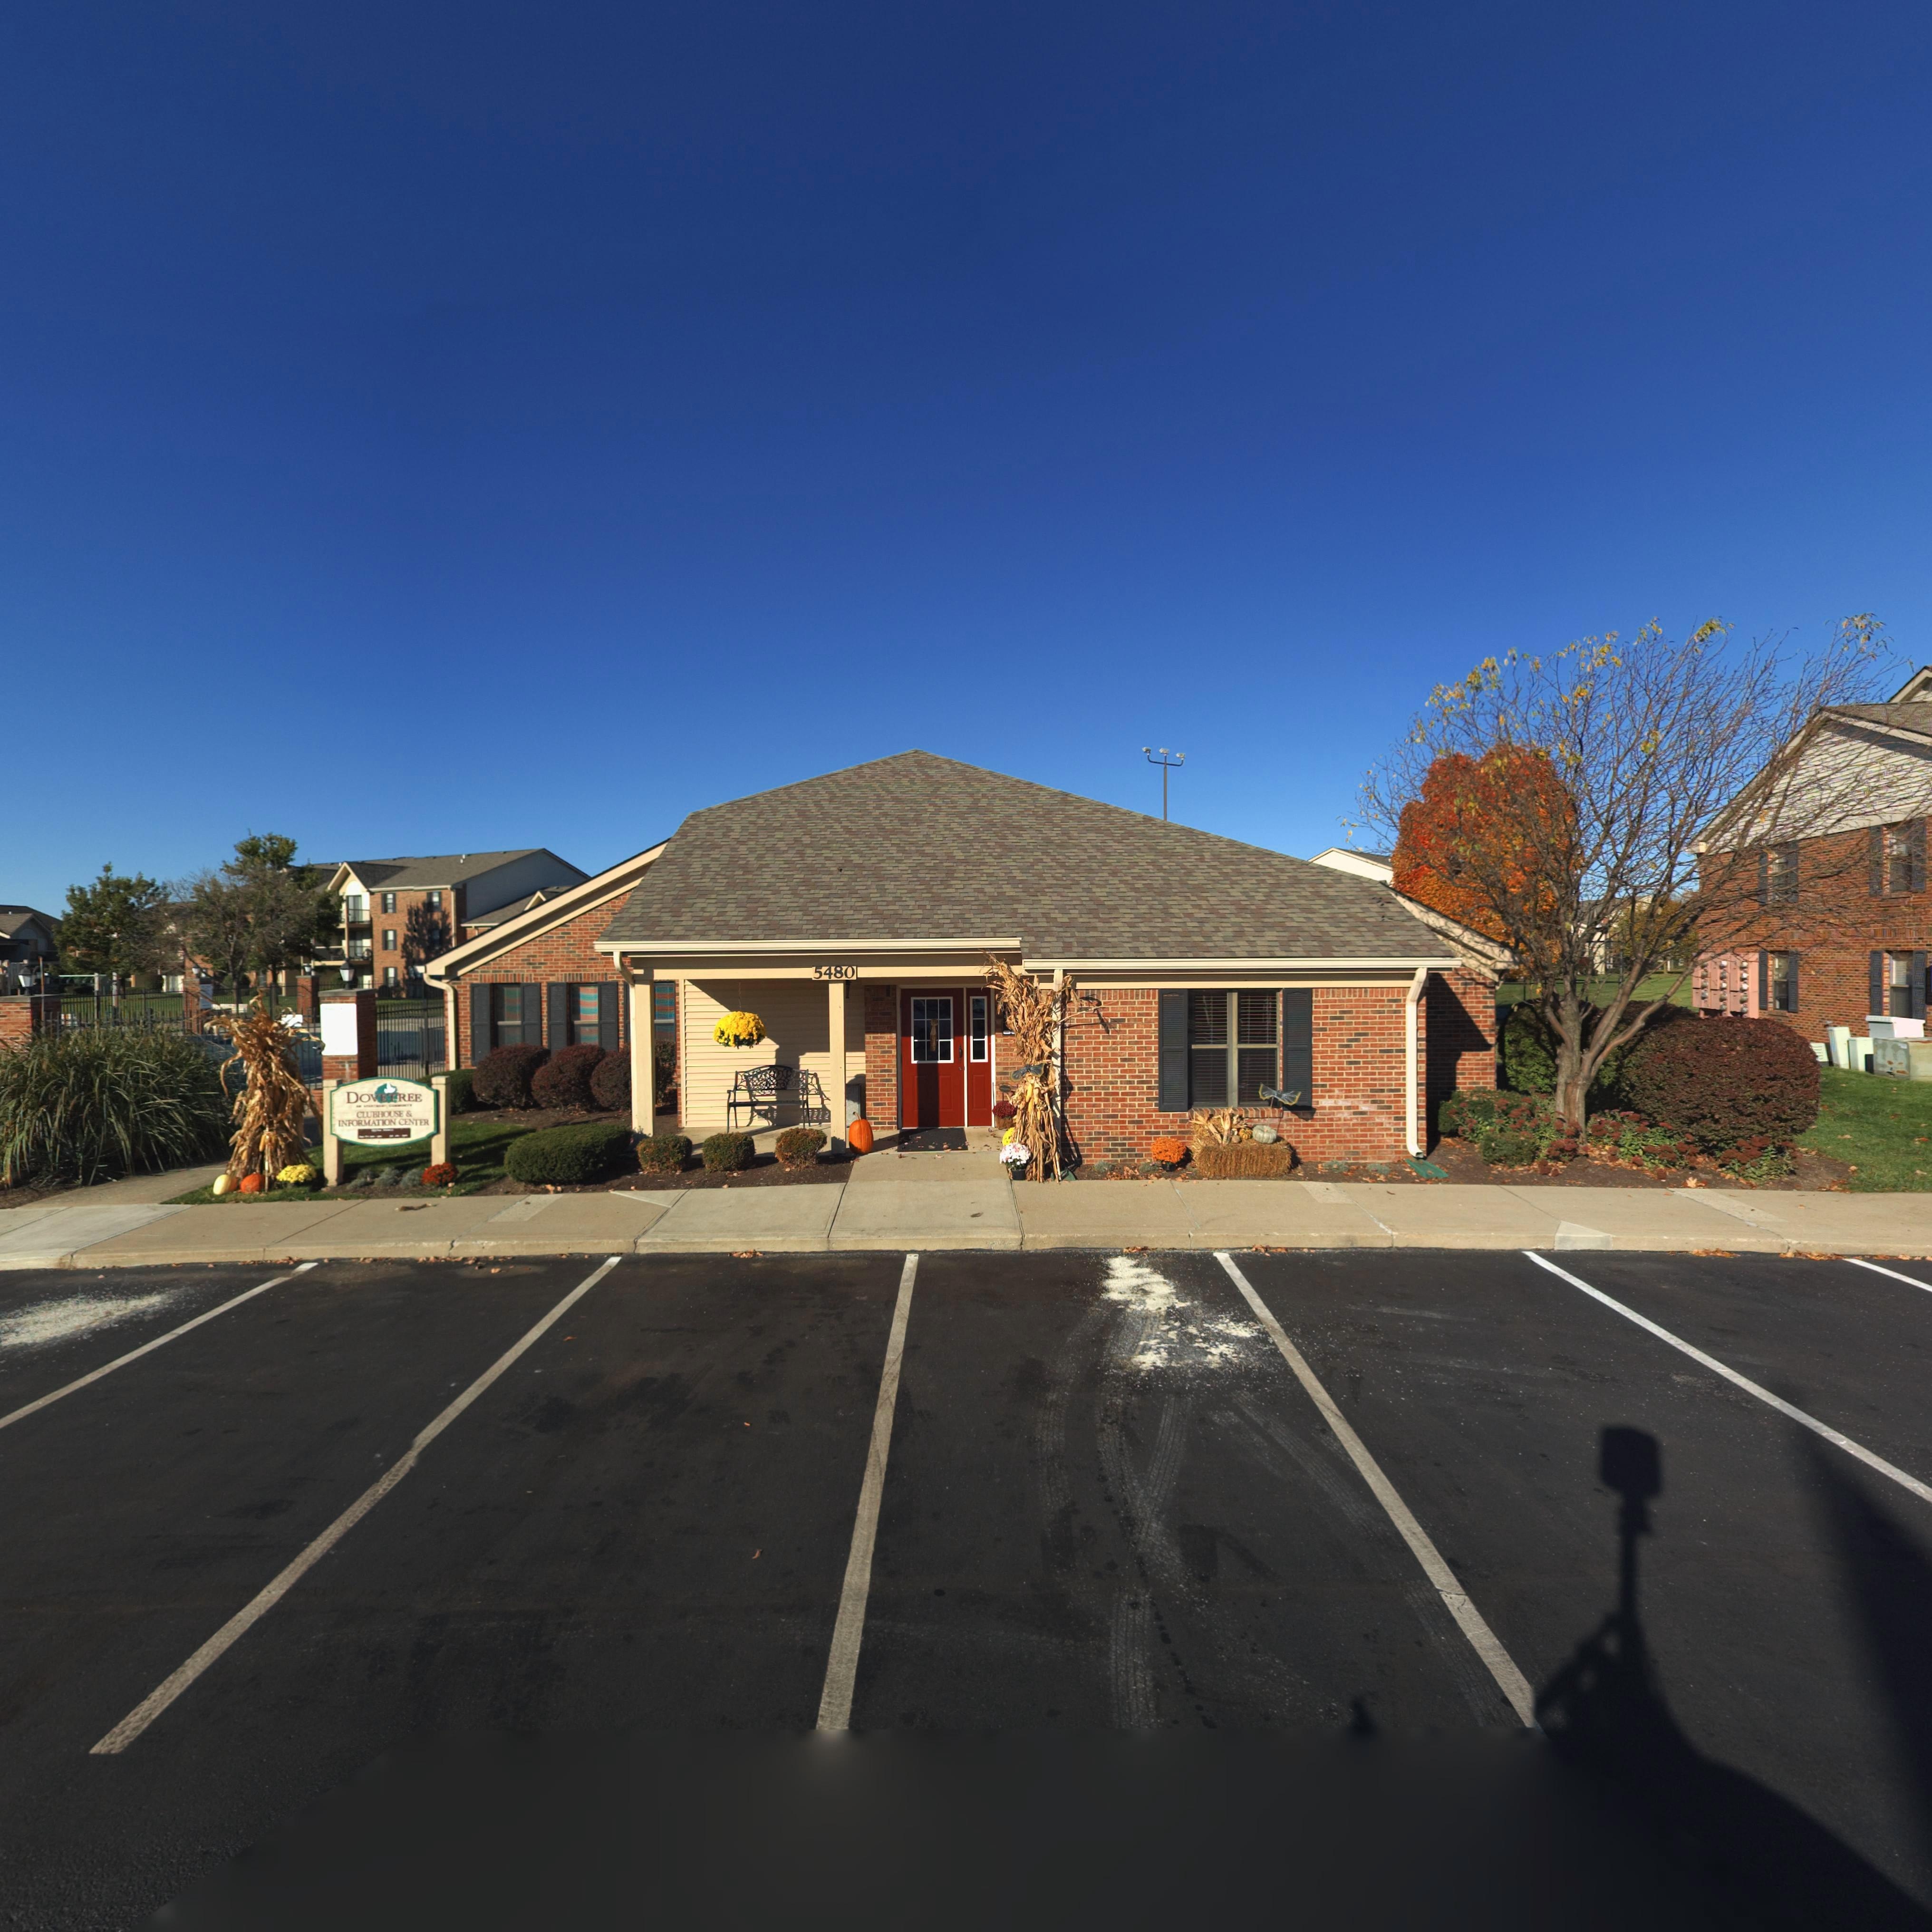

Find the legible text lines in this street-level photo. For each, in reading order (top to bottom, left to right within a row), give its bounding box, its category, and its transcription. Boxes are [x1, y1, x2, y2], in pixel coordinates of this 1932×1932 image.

[812, 965, 856, 980] StreetNumber: 5480